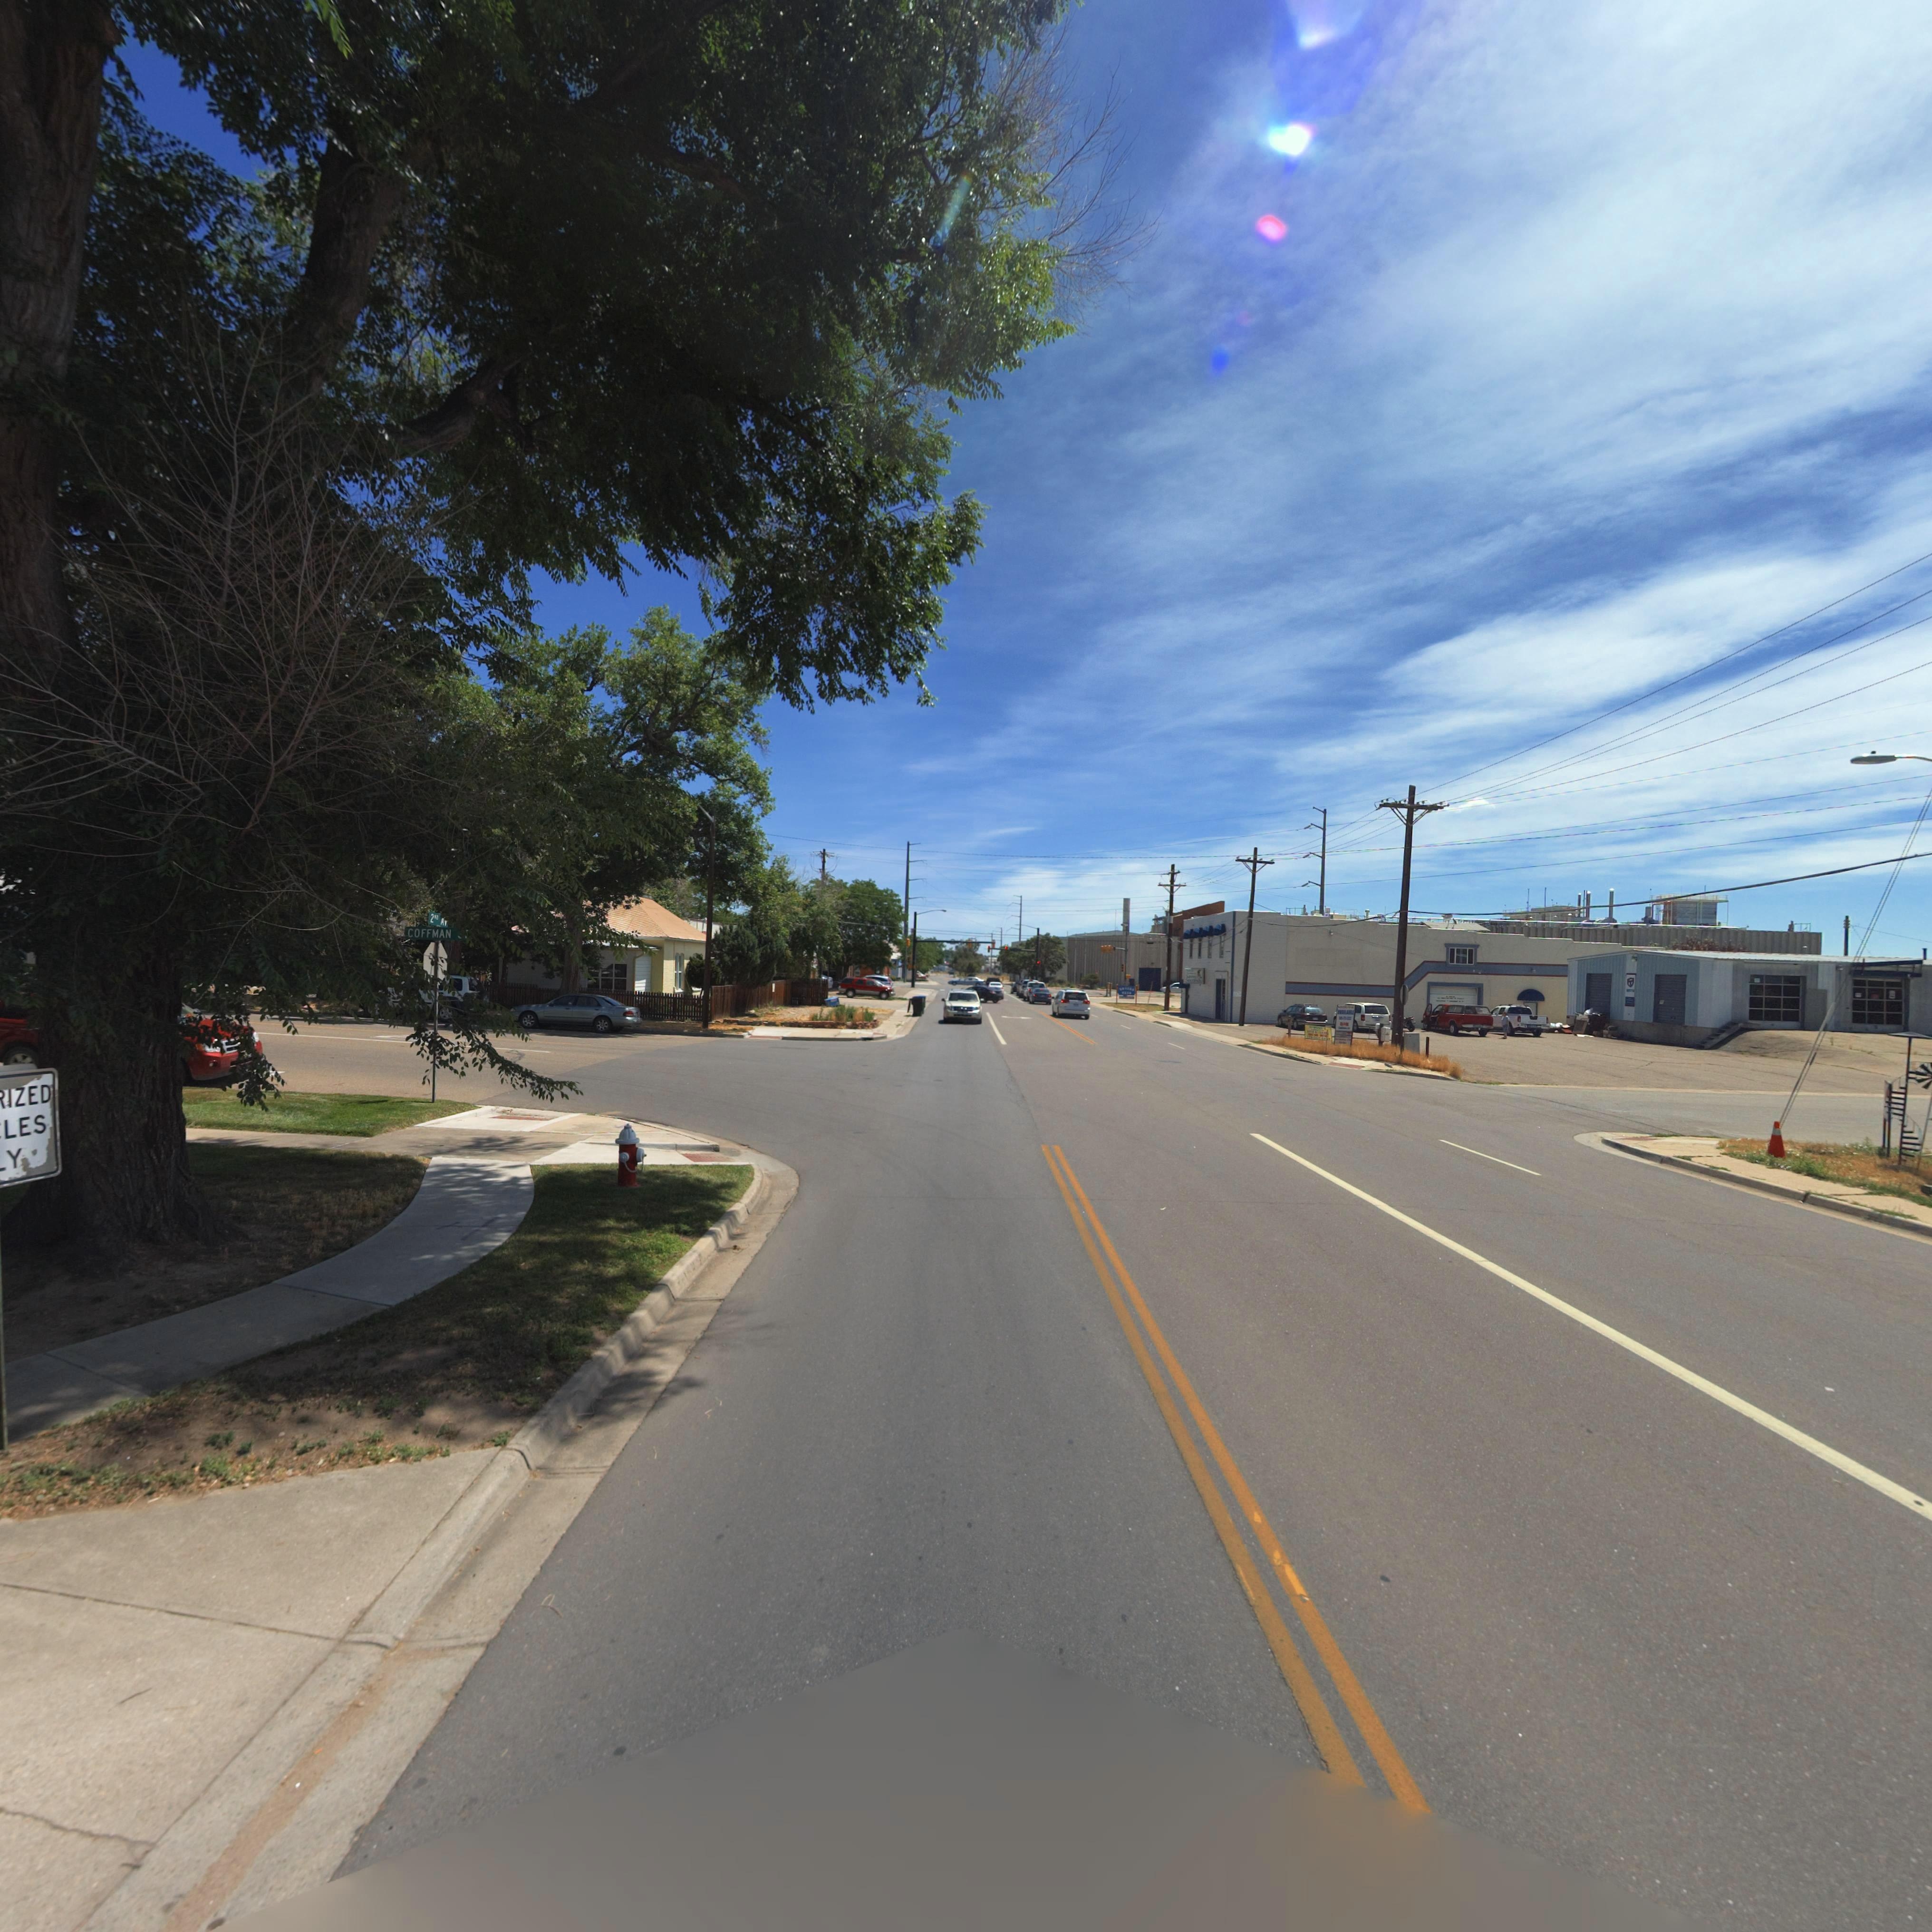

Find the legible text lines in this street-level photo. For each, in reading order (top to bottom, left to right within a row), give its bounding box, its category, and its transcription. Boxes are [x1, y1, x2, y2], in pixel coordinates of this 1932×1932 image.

[429, 913, 448, 927] StreetName: 2ND AV
[407, 927, 451, 938] StreetName: COFFMAN 
[1185, 974, 1196, 980] BusinessName: Savvy
[1185, 977, 1201, 983] BusinessName: S*****s
[1119, 986, 1134, 991] BusinessName: T**D**S
[1122, 991, 1131, 995] BusinessName: **DS